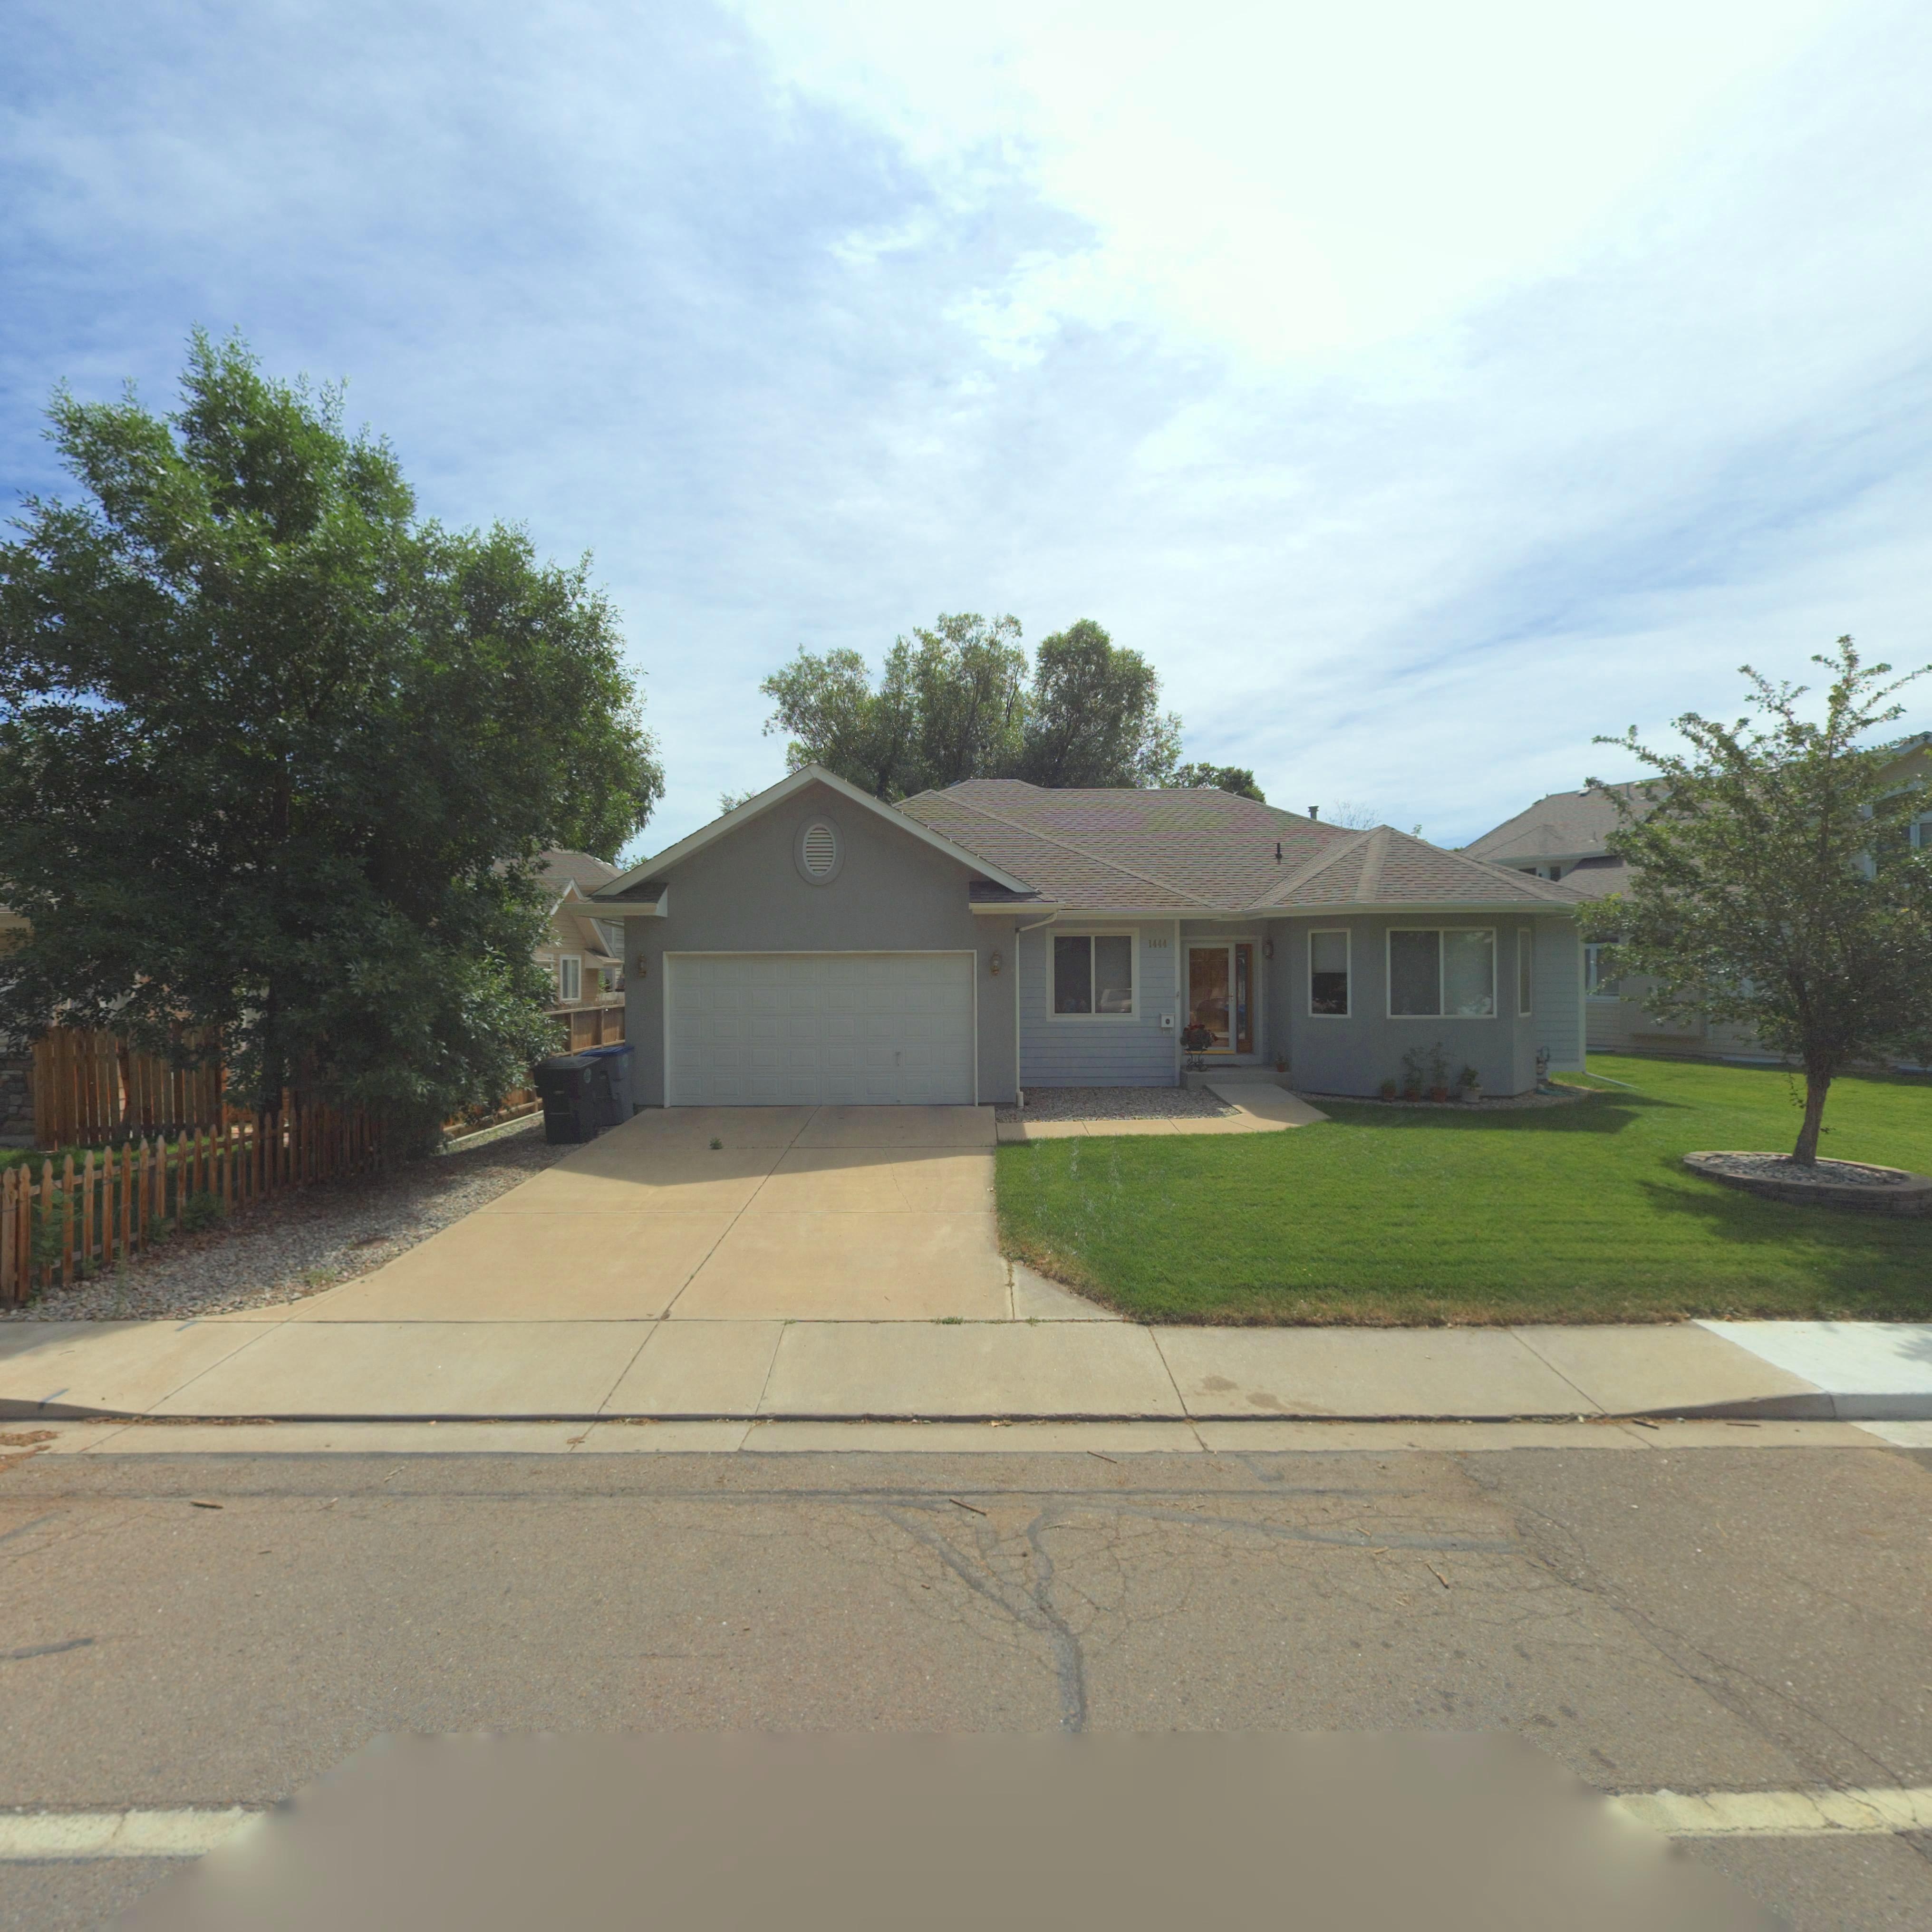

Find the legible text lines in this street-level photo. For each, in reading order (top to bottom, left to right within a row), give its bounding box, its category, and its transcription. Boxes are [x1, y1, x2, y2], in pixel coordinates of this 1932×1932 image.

[1148, 939, 1167, 948] StreetNumber: 1444